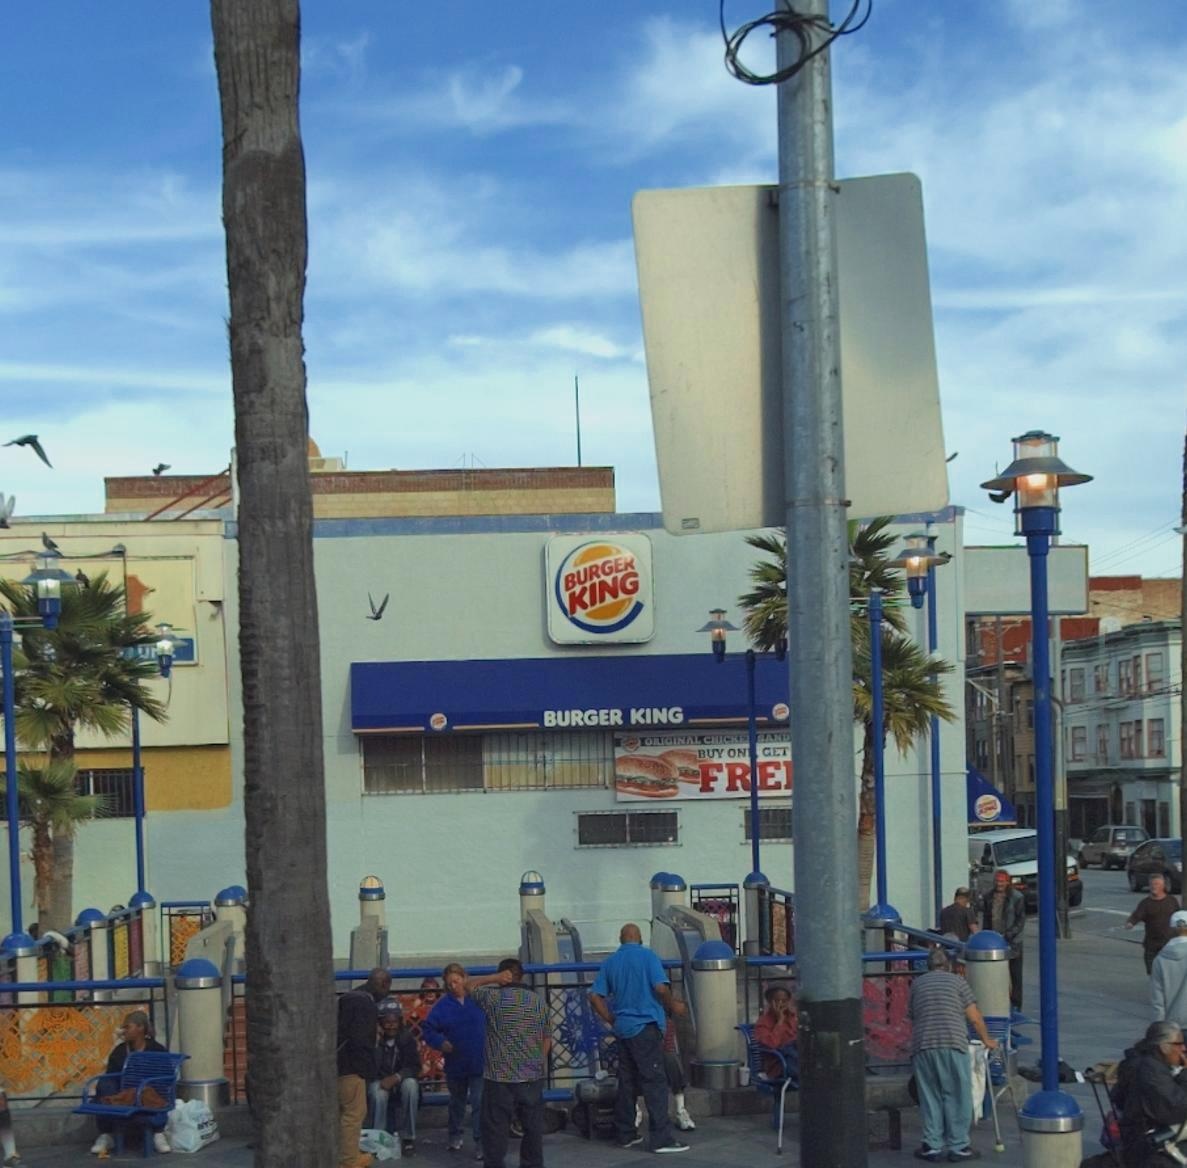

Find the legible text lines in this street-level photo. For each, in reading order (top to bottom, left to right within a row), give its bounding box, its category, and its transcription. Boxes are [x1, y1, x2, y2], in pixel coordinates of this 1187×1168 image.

[561, 549, 638, 595] BusinessName: BURGER
[567, 567, 642, 617] BusinessName: KING
[541, 704, 687, 730] BusinessName: BURGER KING
[642, 731, 794, 747] None: ORIGINAL CHICKE* SAND
[694, 743, 792, 761] None: BUY ON* GET
[695, 759, 789, 795] None: FRE